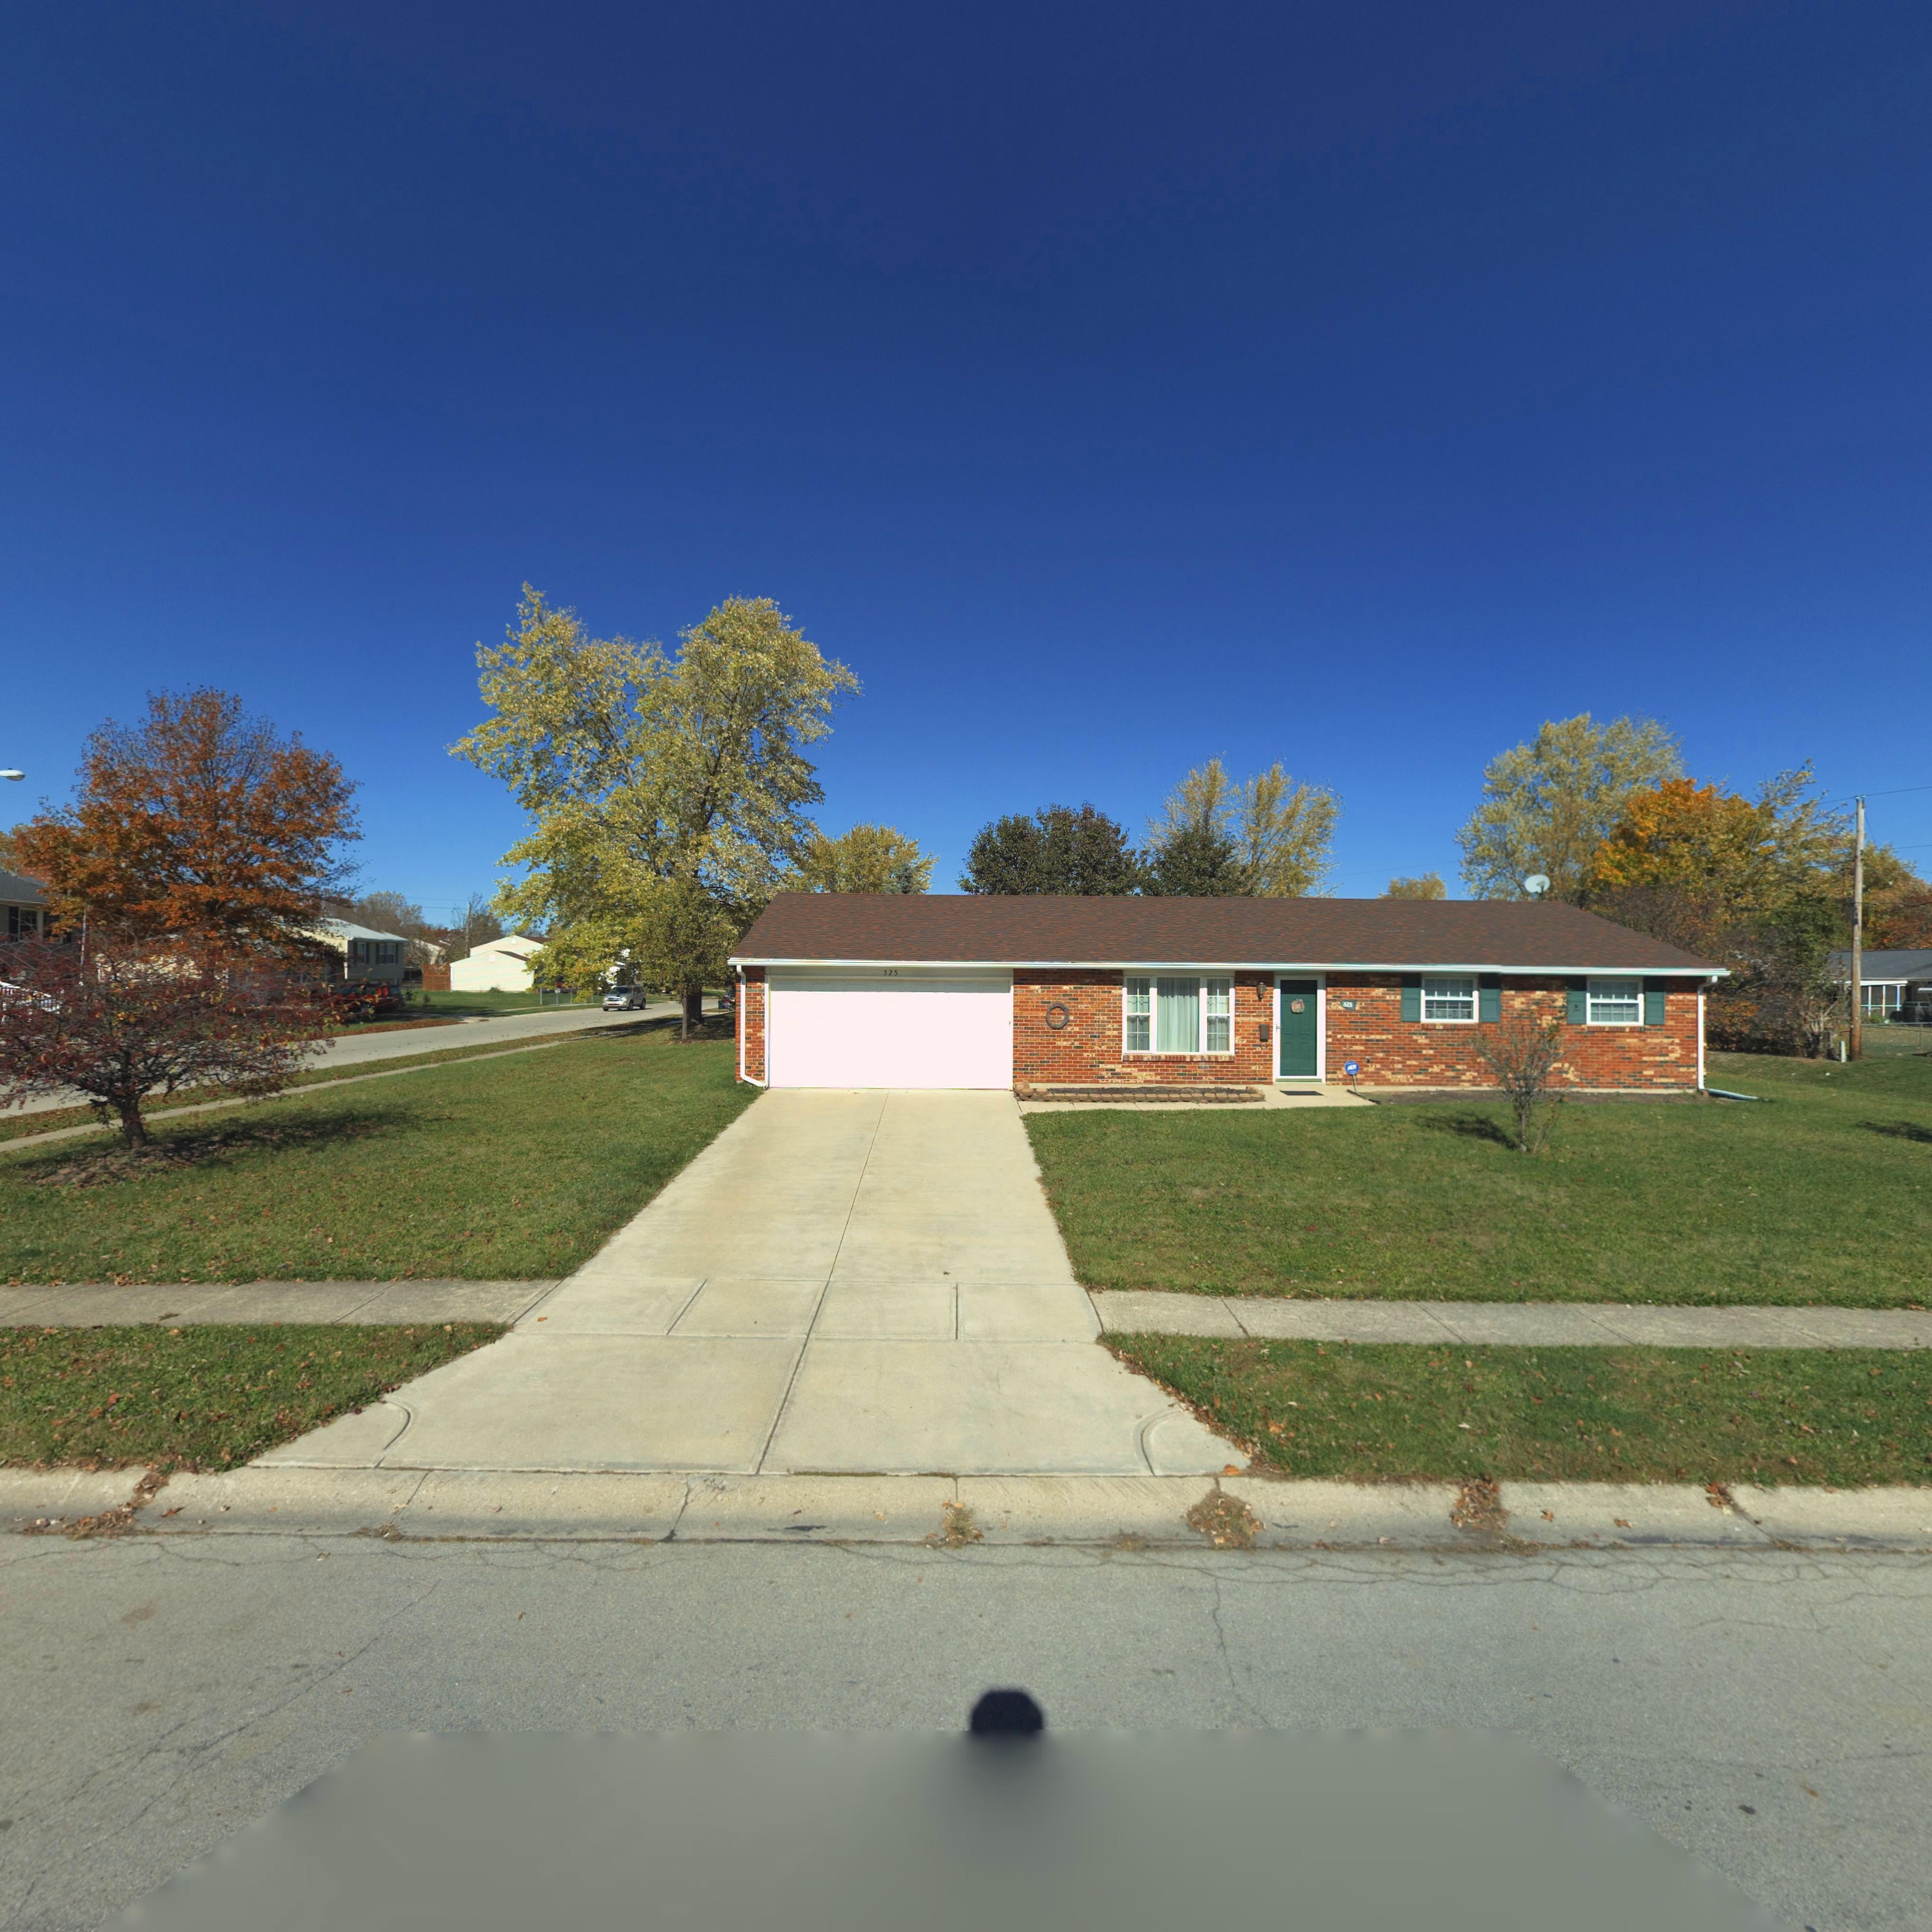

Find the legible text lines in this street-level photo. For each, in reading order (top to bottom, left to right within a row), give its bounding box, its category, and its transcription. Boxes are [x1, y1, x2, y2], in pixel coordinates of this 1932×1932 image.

[882, 969, 898, 977] StreetNumber: 525
[1342, 1001, 1353, 1008] StreetNumber: 525